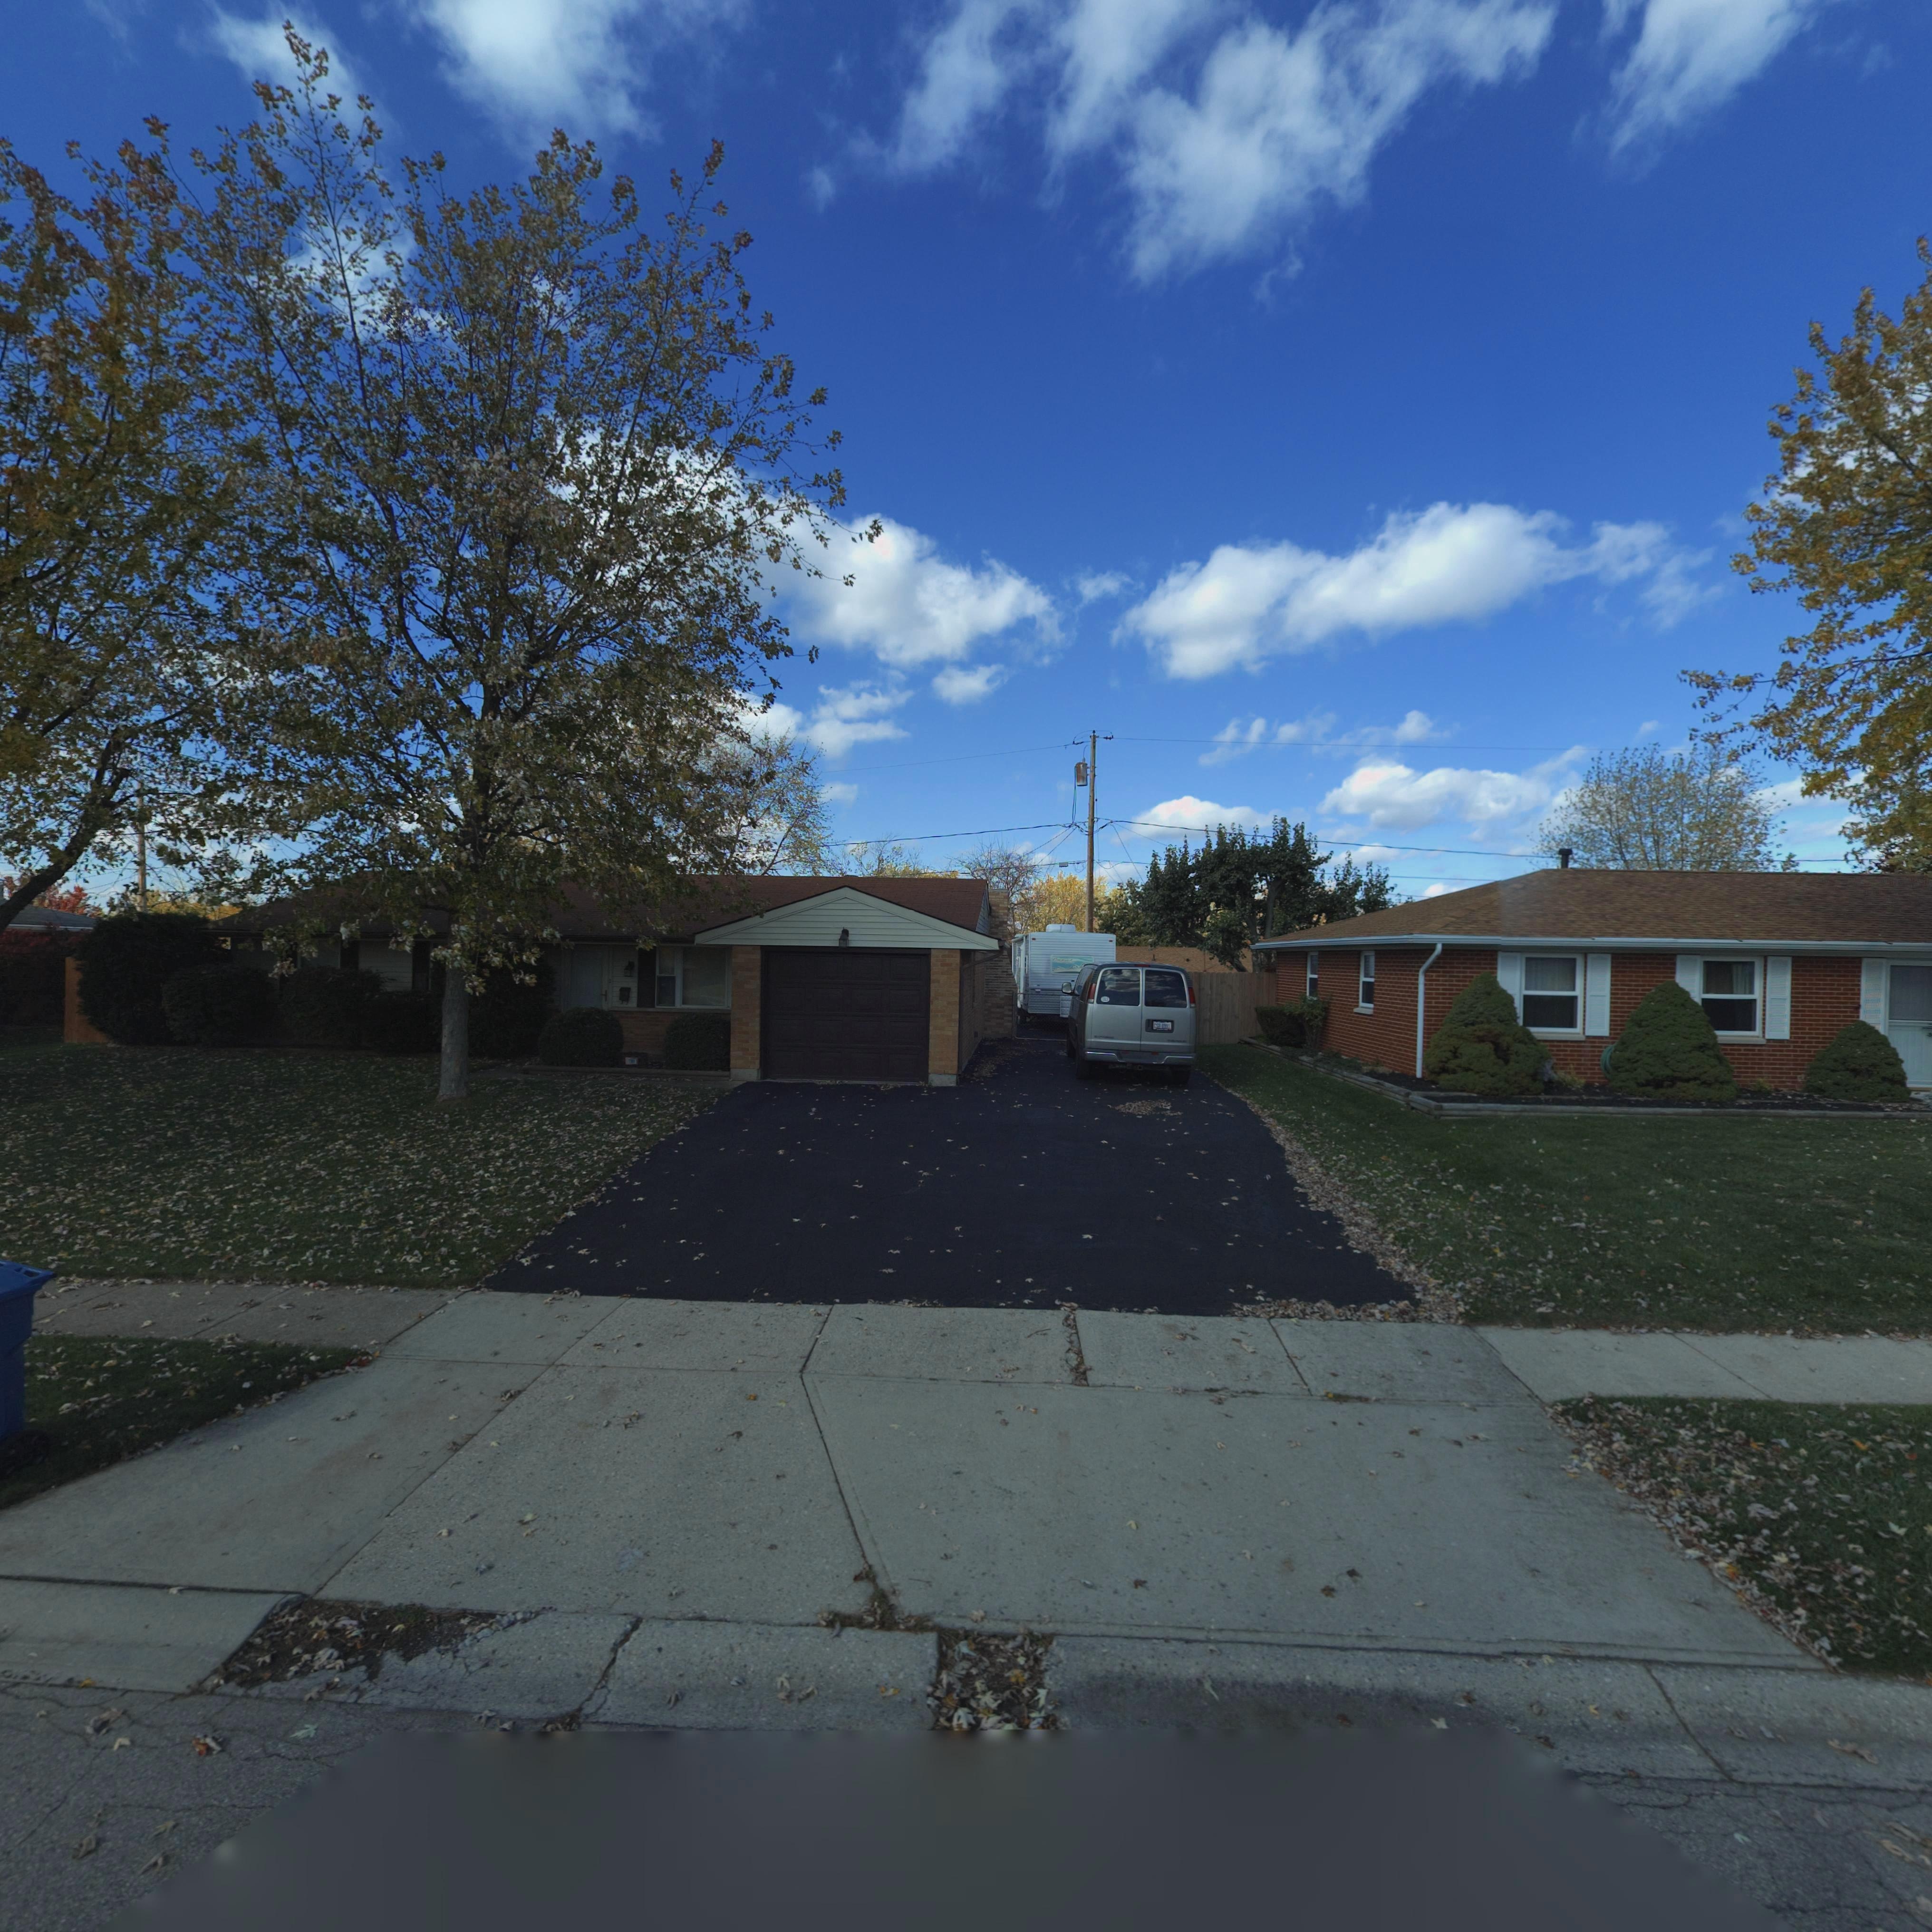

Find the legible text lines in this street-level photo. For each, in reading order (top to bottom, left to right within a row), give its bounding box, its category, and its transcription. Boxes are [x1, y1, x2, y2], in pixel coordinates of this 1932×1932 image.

[628, 1059, 636, 1064] StreetNumber: 7**1